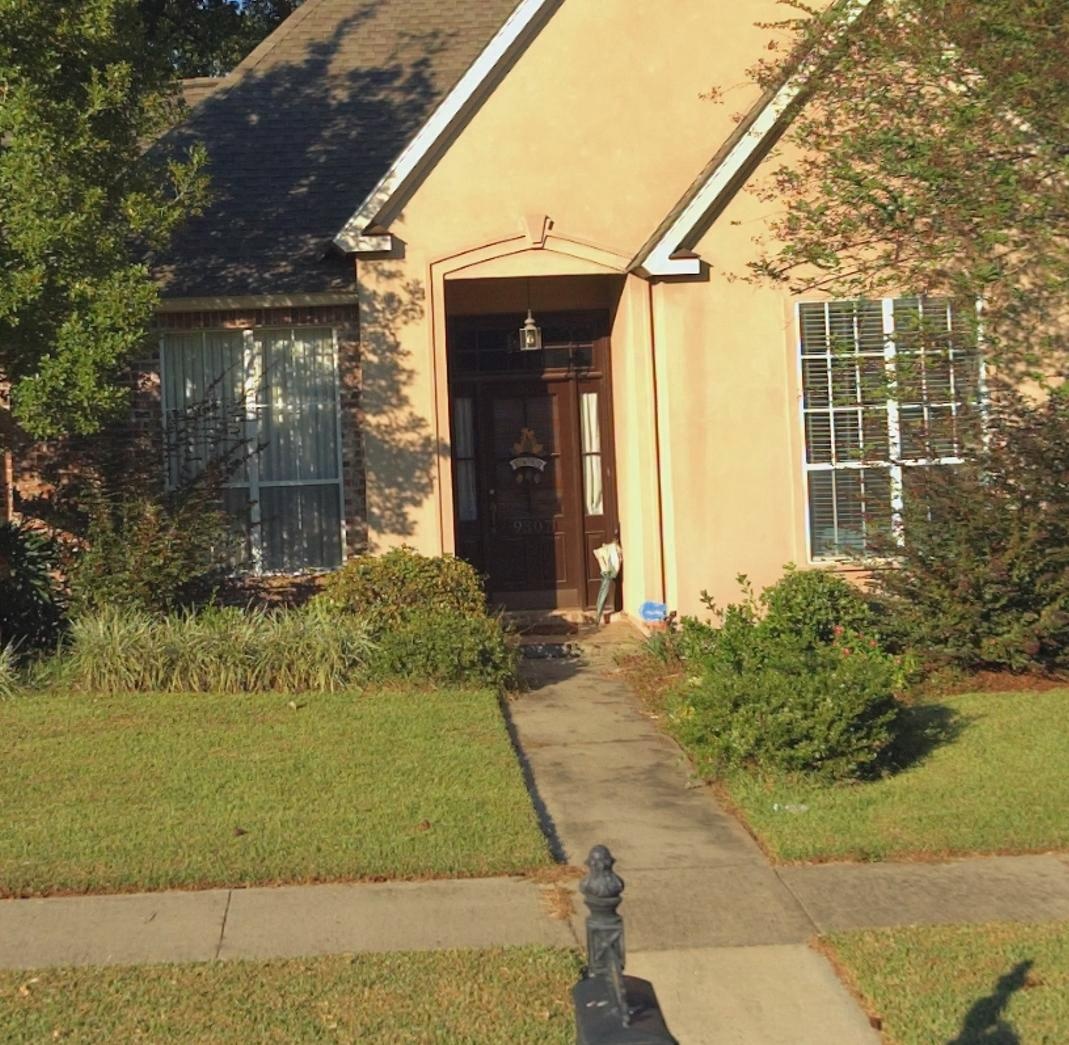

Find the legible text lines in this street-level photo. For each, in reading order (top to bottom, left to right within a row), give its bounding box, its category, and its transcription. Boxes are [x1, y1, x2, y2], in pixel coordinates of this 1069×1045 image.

[512, 519, 553, 534] StreetNumber: 9307